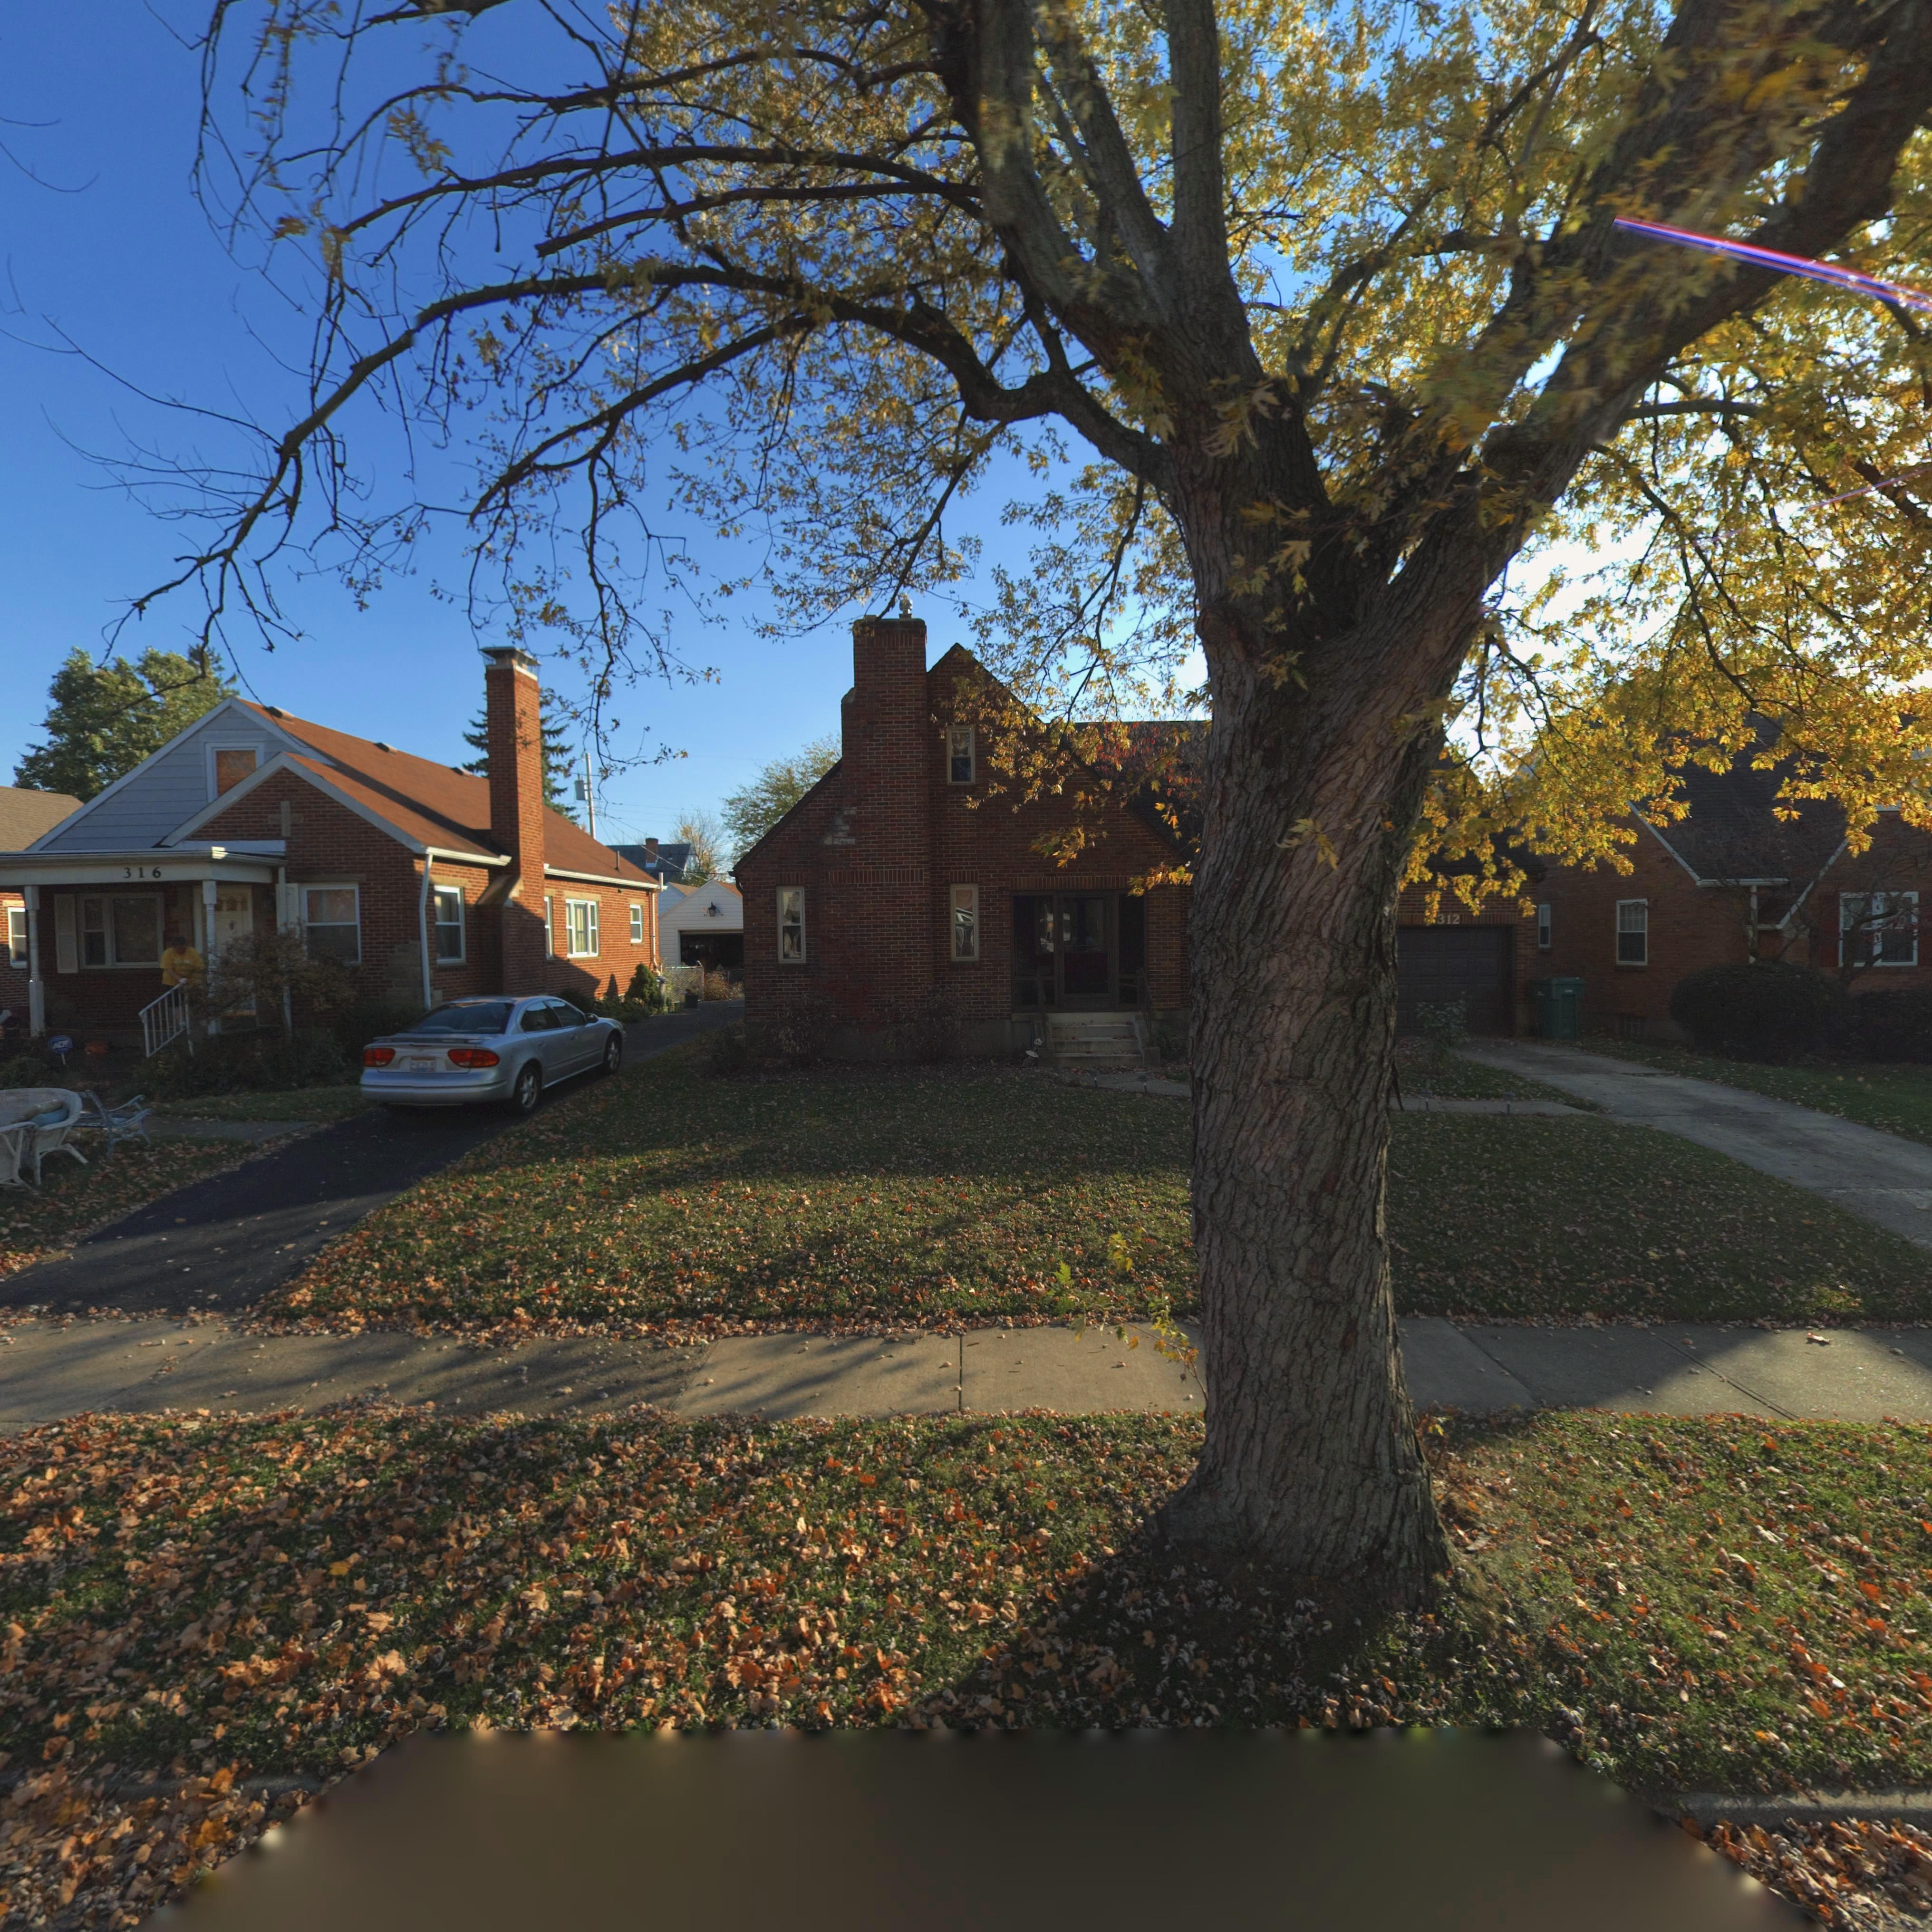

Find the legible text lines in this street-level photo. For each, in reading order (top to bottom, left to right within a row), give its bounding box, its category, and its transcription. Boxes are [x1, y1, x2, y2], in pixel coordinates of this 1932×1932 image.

[122, 866, 161, 879] StreetNumber: 316
[1437, 913, 1460, 925] StreetNumber: 312